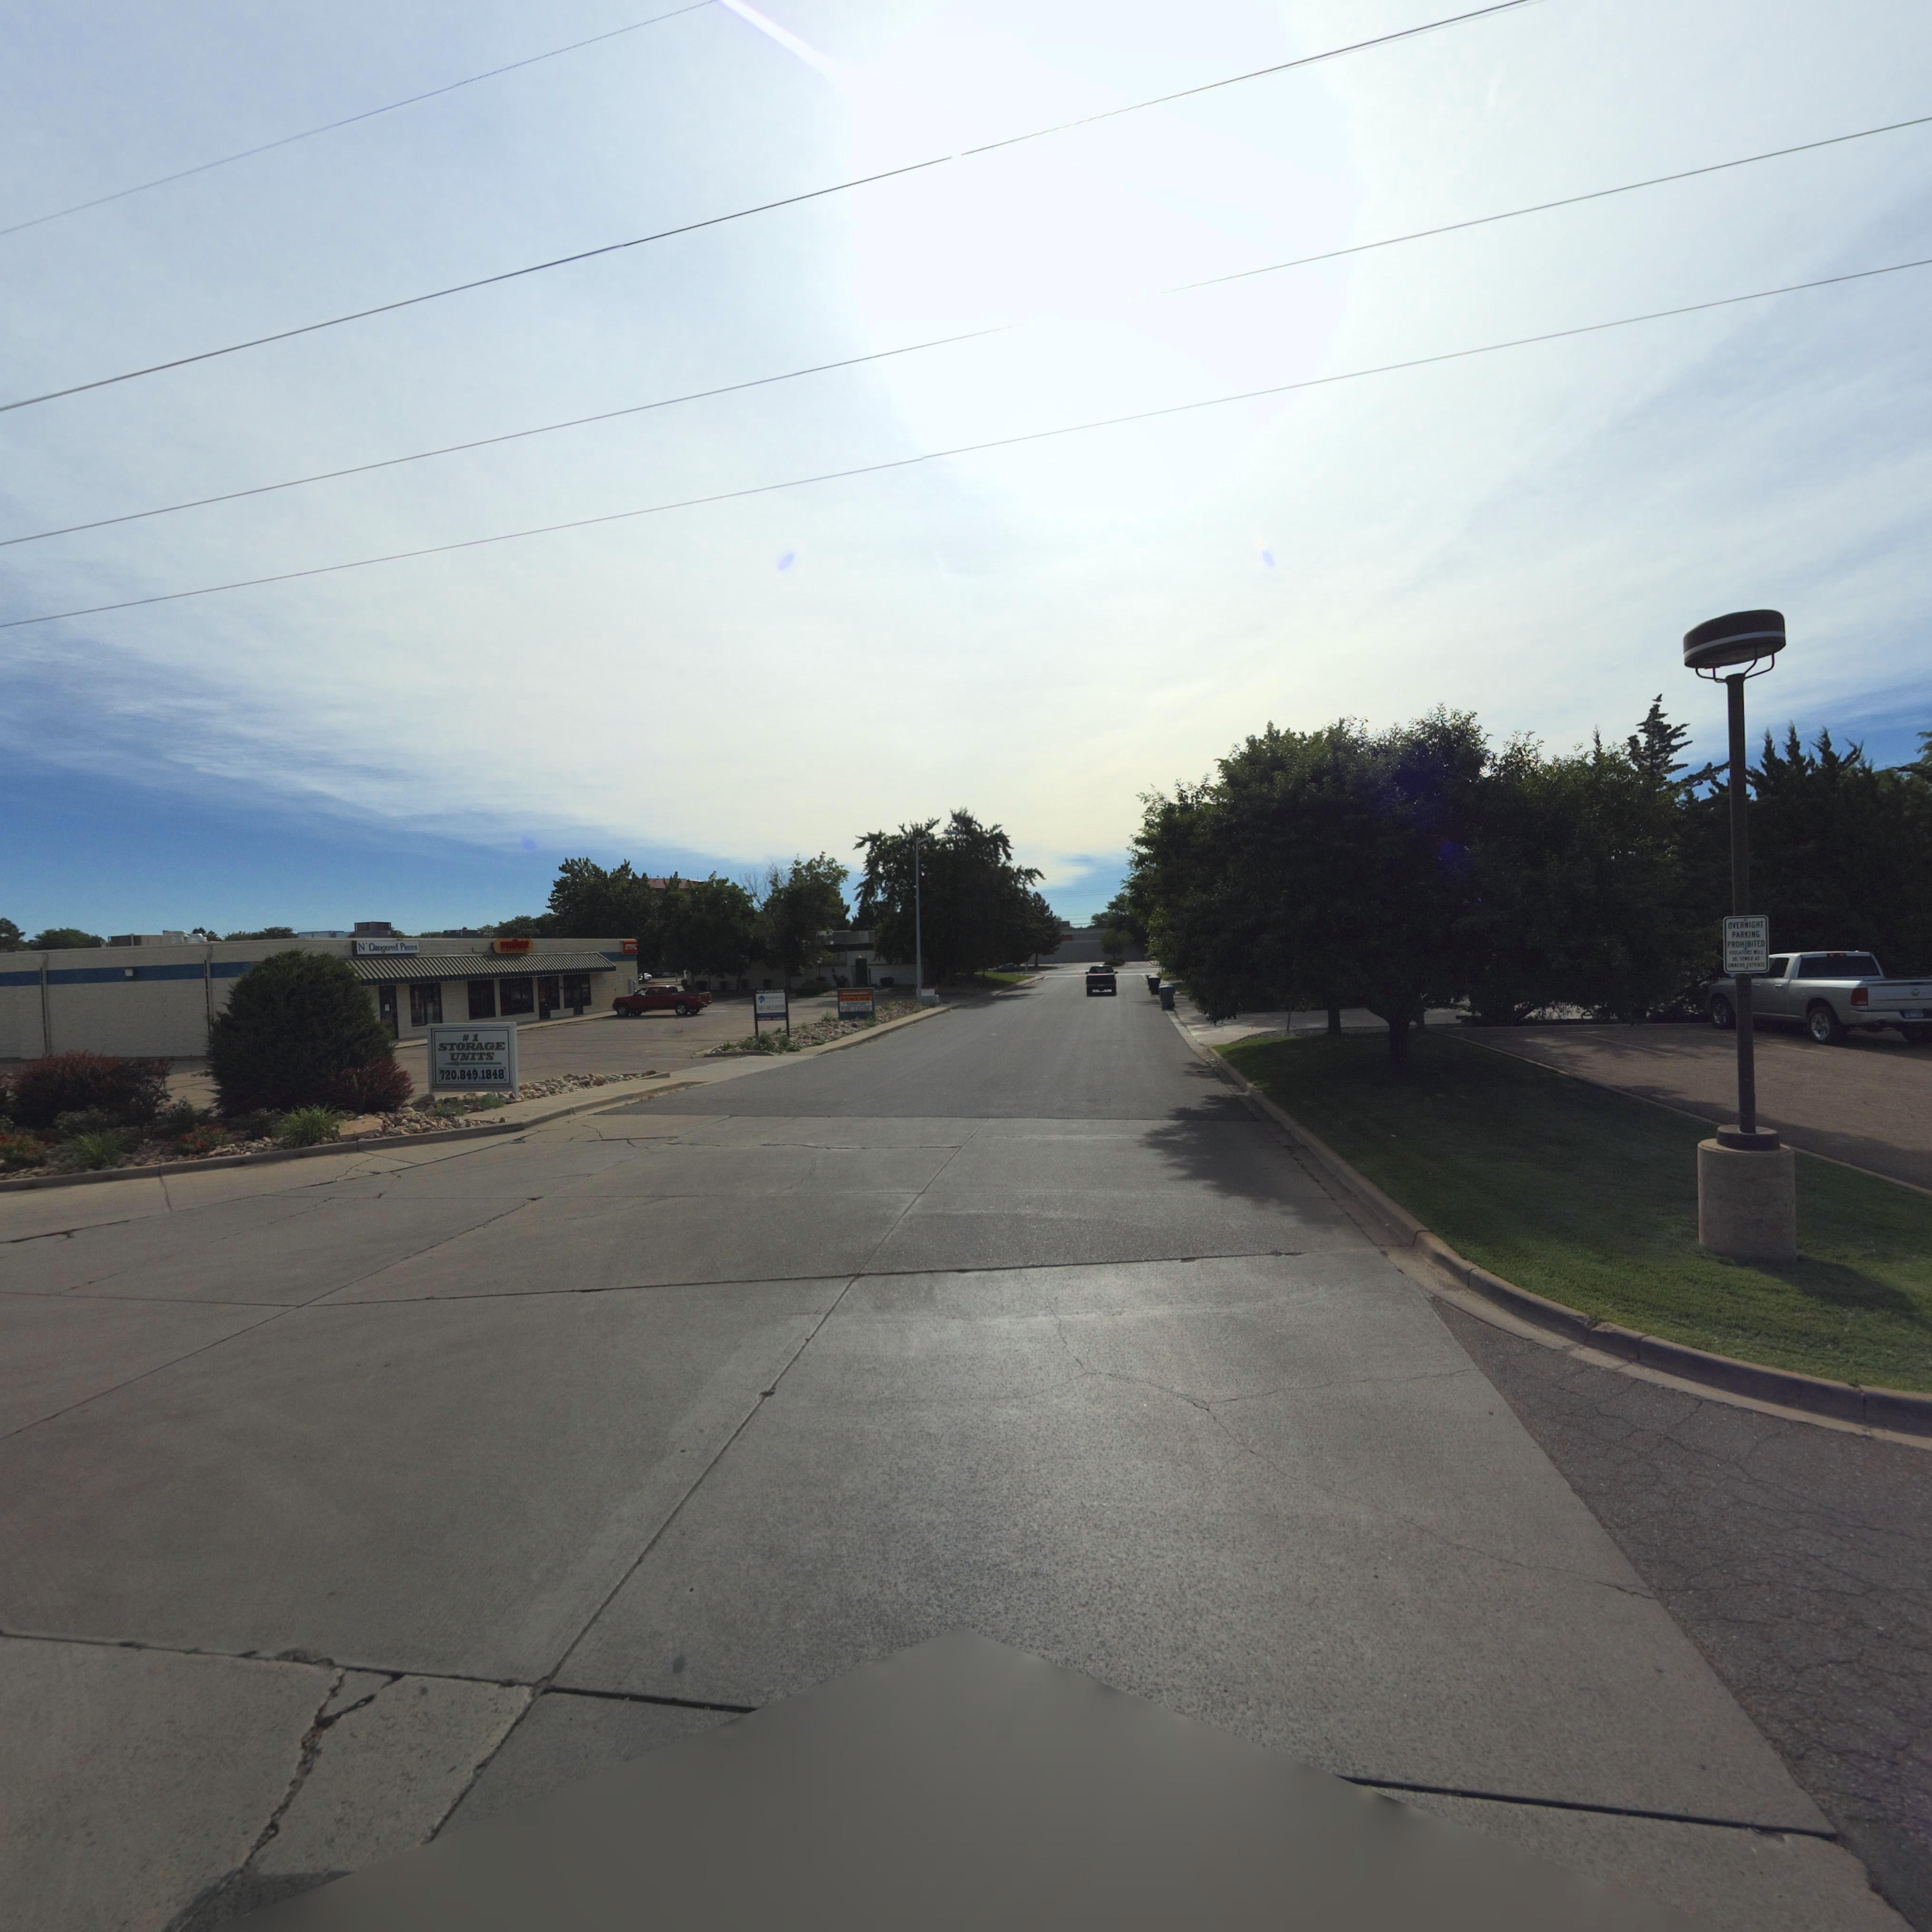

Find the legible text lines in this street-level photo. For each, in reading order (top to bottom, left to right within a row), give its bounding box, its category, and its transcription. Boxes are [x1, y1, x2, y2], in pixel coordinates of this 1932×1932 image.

[357, 942, 418, 953] BusinessName: N * Dangered Pieces
[500, 940, 530, 948] BusinessName: P**92
[625, 944, 637, 950] BusinessName: ST**L
[462, 1033, 478, 1042] BusinessName: *1
[437, 1041, 505, 1052] BusinessName: STORAGE
[449, 1051, 495, 1061] BusinessName: UNITS